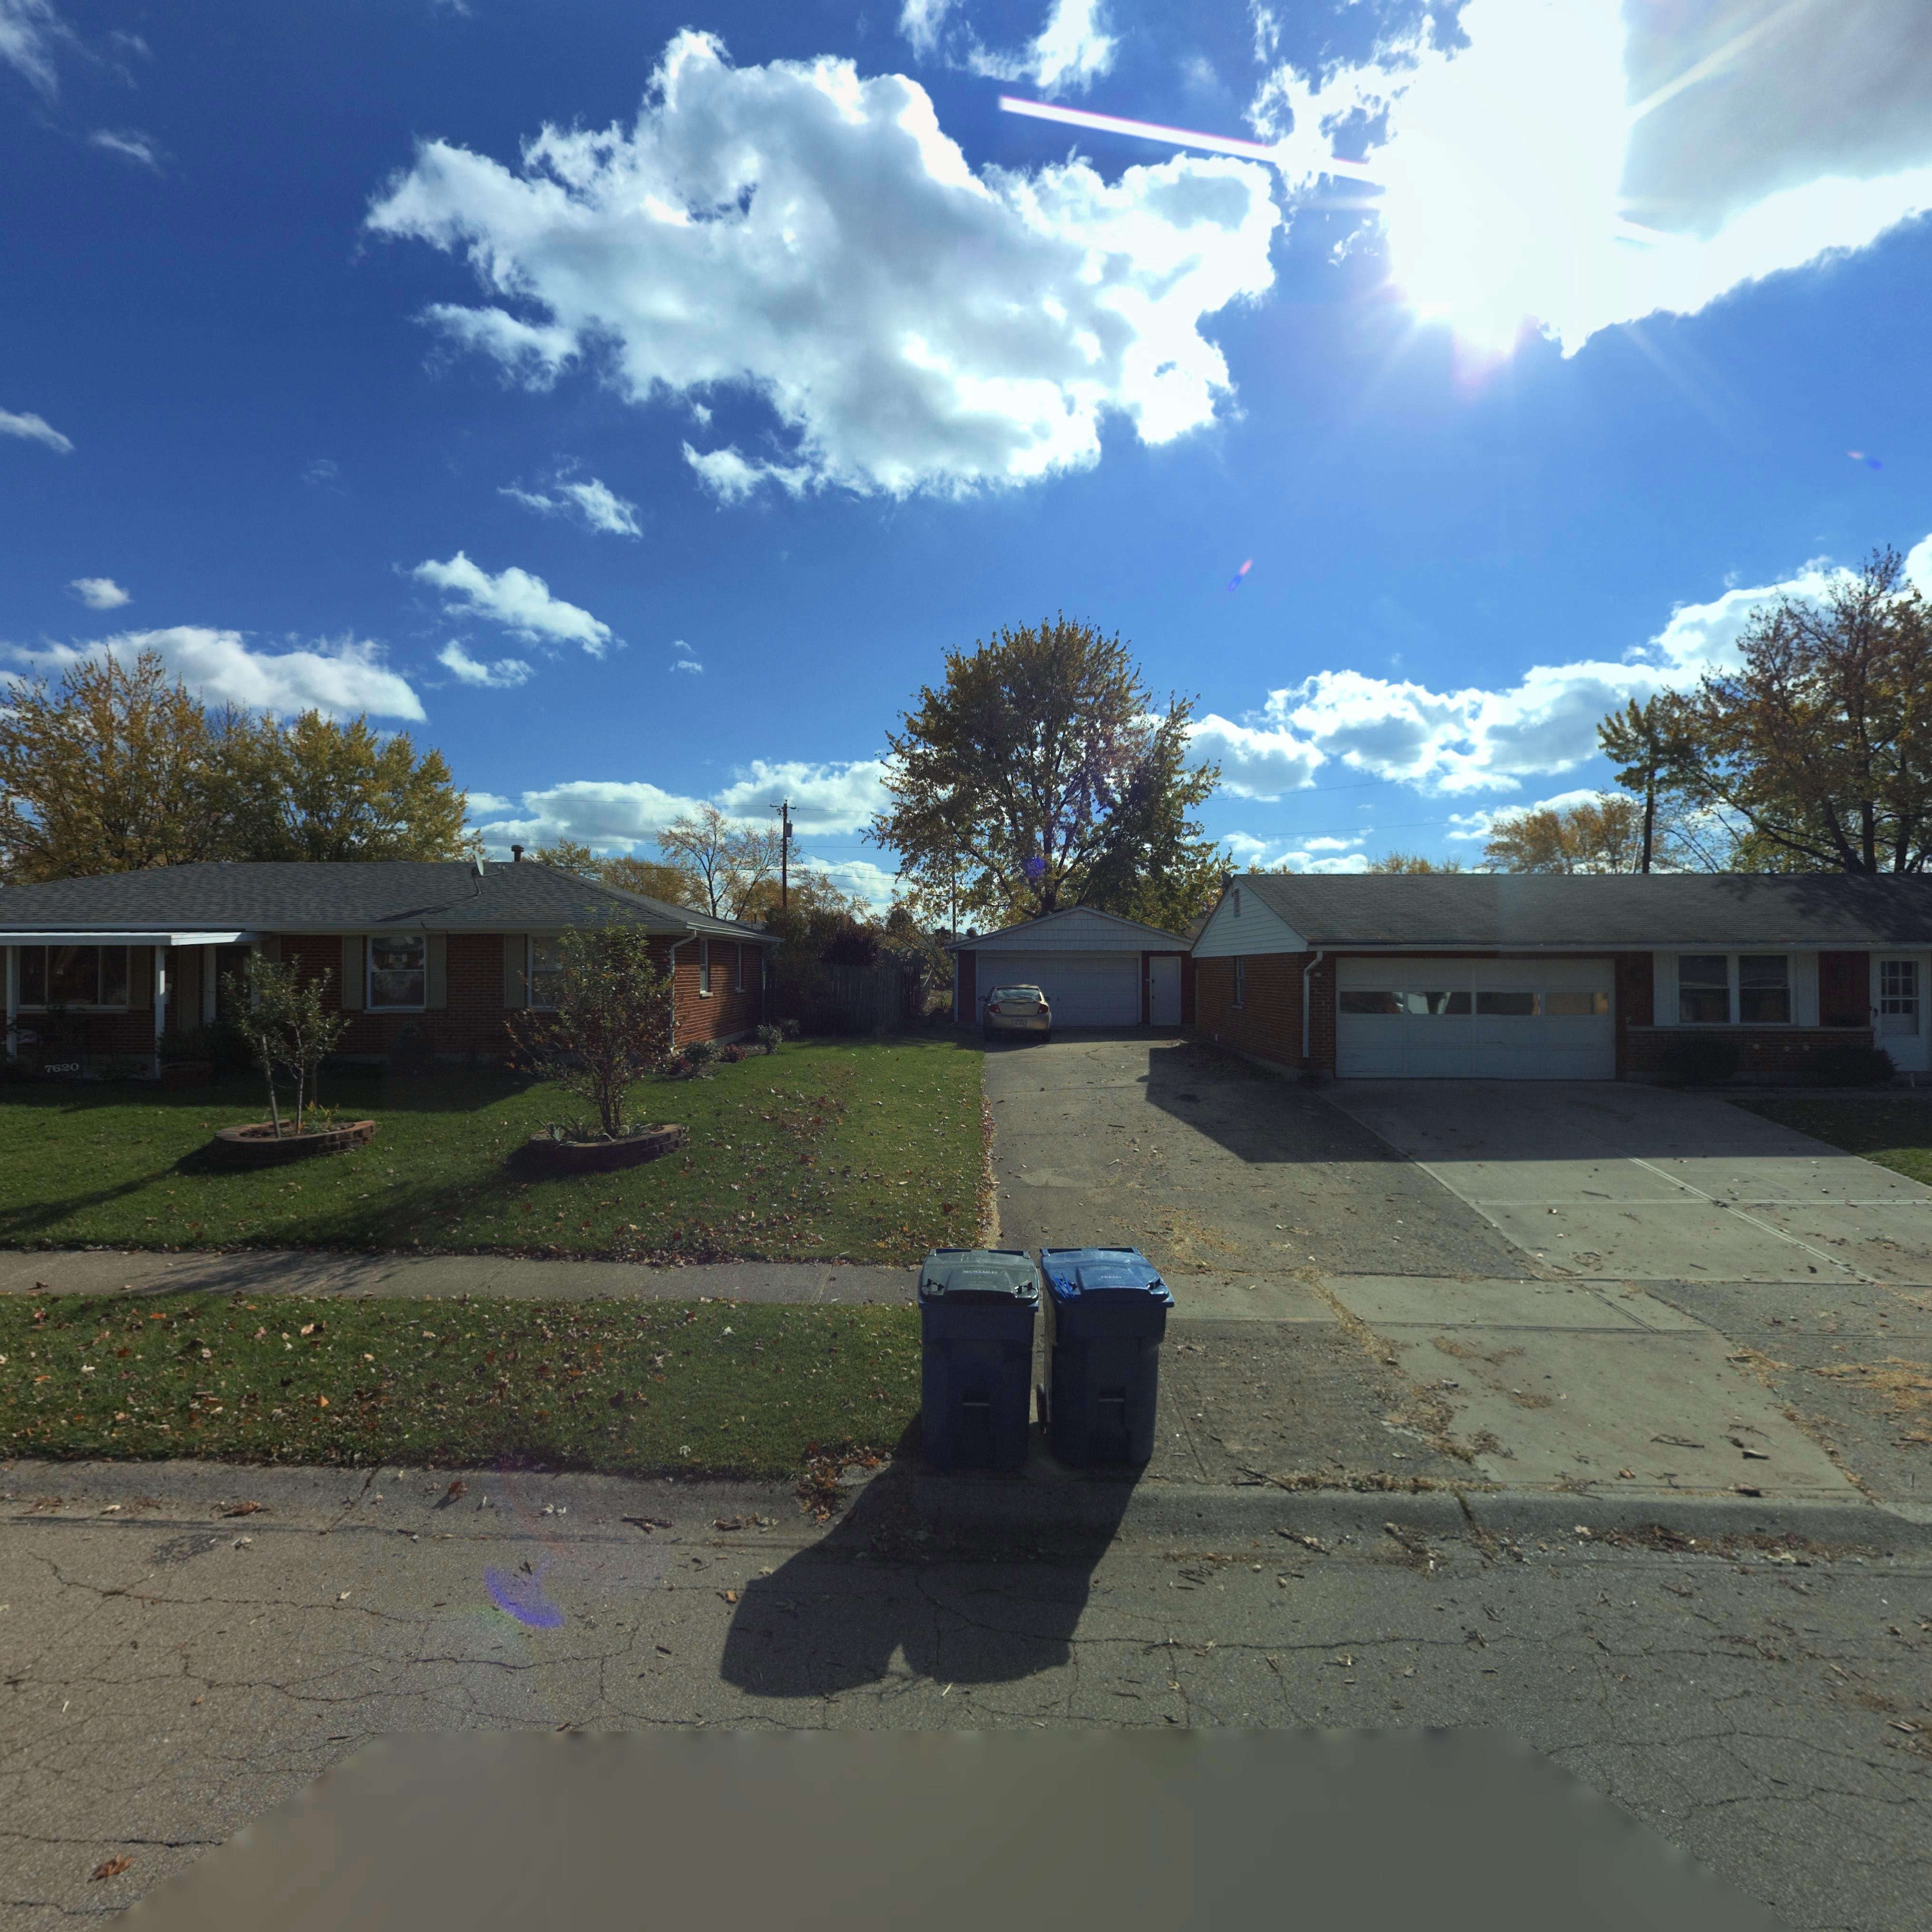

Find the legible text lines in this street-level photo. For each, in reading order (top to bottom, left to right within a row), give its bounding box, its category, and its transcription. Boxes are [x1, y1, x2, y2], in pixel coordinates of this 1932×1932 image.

[44, 1063, 80, 1073] StreetNumber: 7620